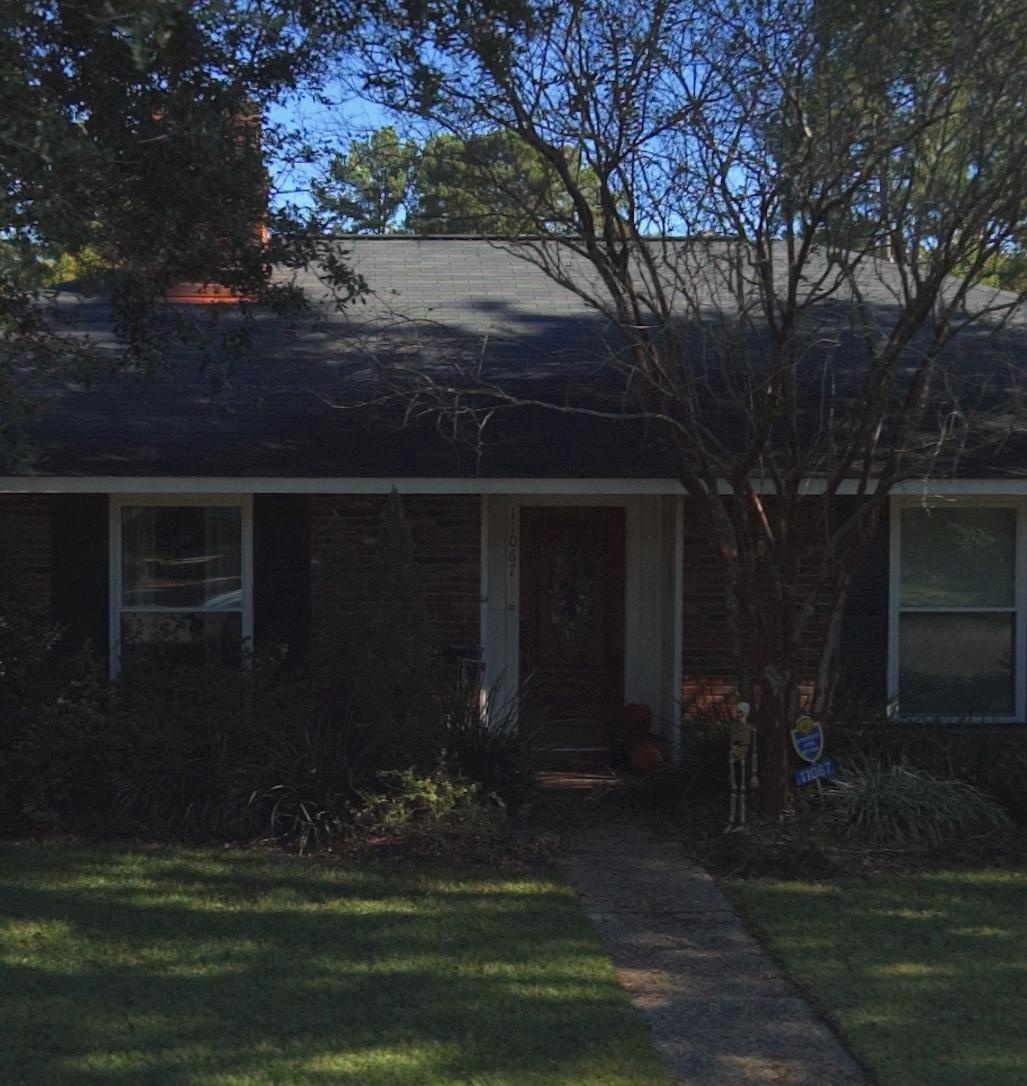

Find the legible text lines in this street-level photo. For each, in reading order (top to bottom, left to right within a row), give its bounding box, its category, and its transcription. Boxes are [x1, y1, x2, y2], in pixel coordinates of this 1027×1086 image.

[506, 504, 520, 580] StreetNumber: 11067
[796, 759, 833, 786] StreetNumber: 11067